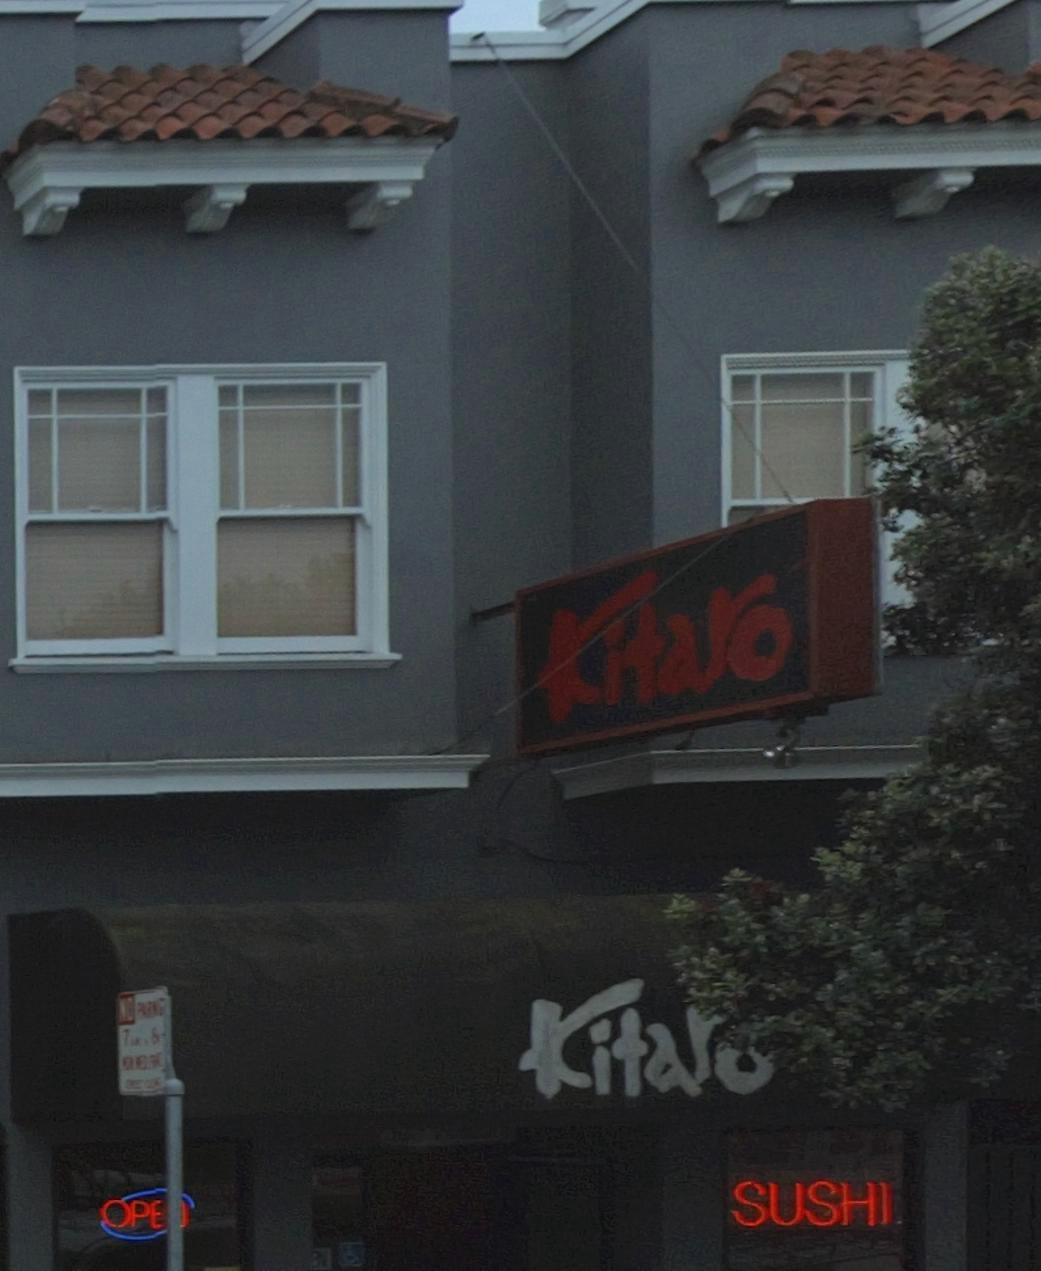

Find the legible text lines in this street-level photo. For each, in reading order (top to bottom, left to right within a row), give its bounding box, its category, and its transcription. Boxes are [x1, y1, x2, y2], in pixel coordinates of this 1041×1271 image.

[530, 566, 804, 731] BusinessName: Kitaro
[120, 1025, 131, 1049] None: 7
[524, 992, 710, 1107] BusinessName: Kita
[96, 1196, 166, 1232] None: OPE
[728, 1175, 897, 1233] None: SUSHI